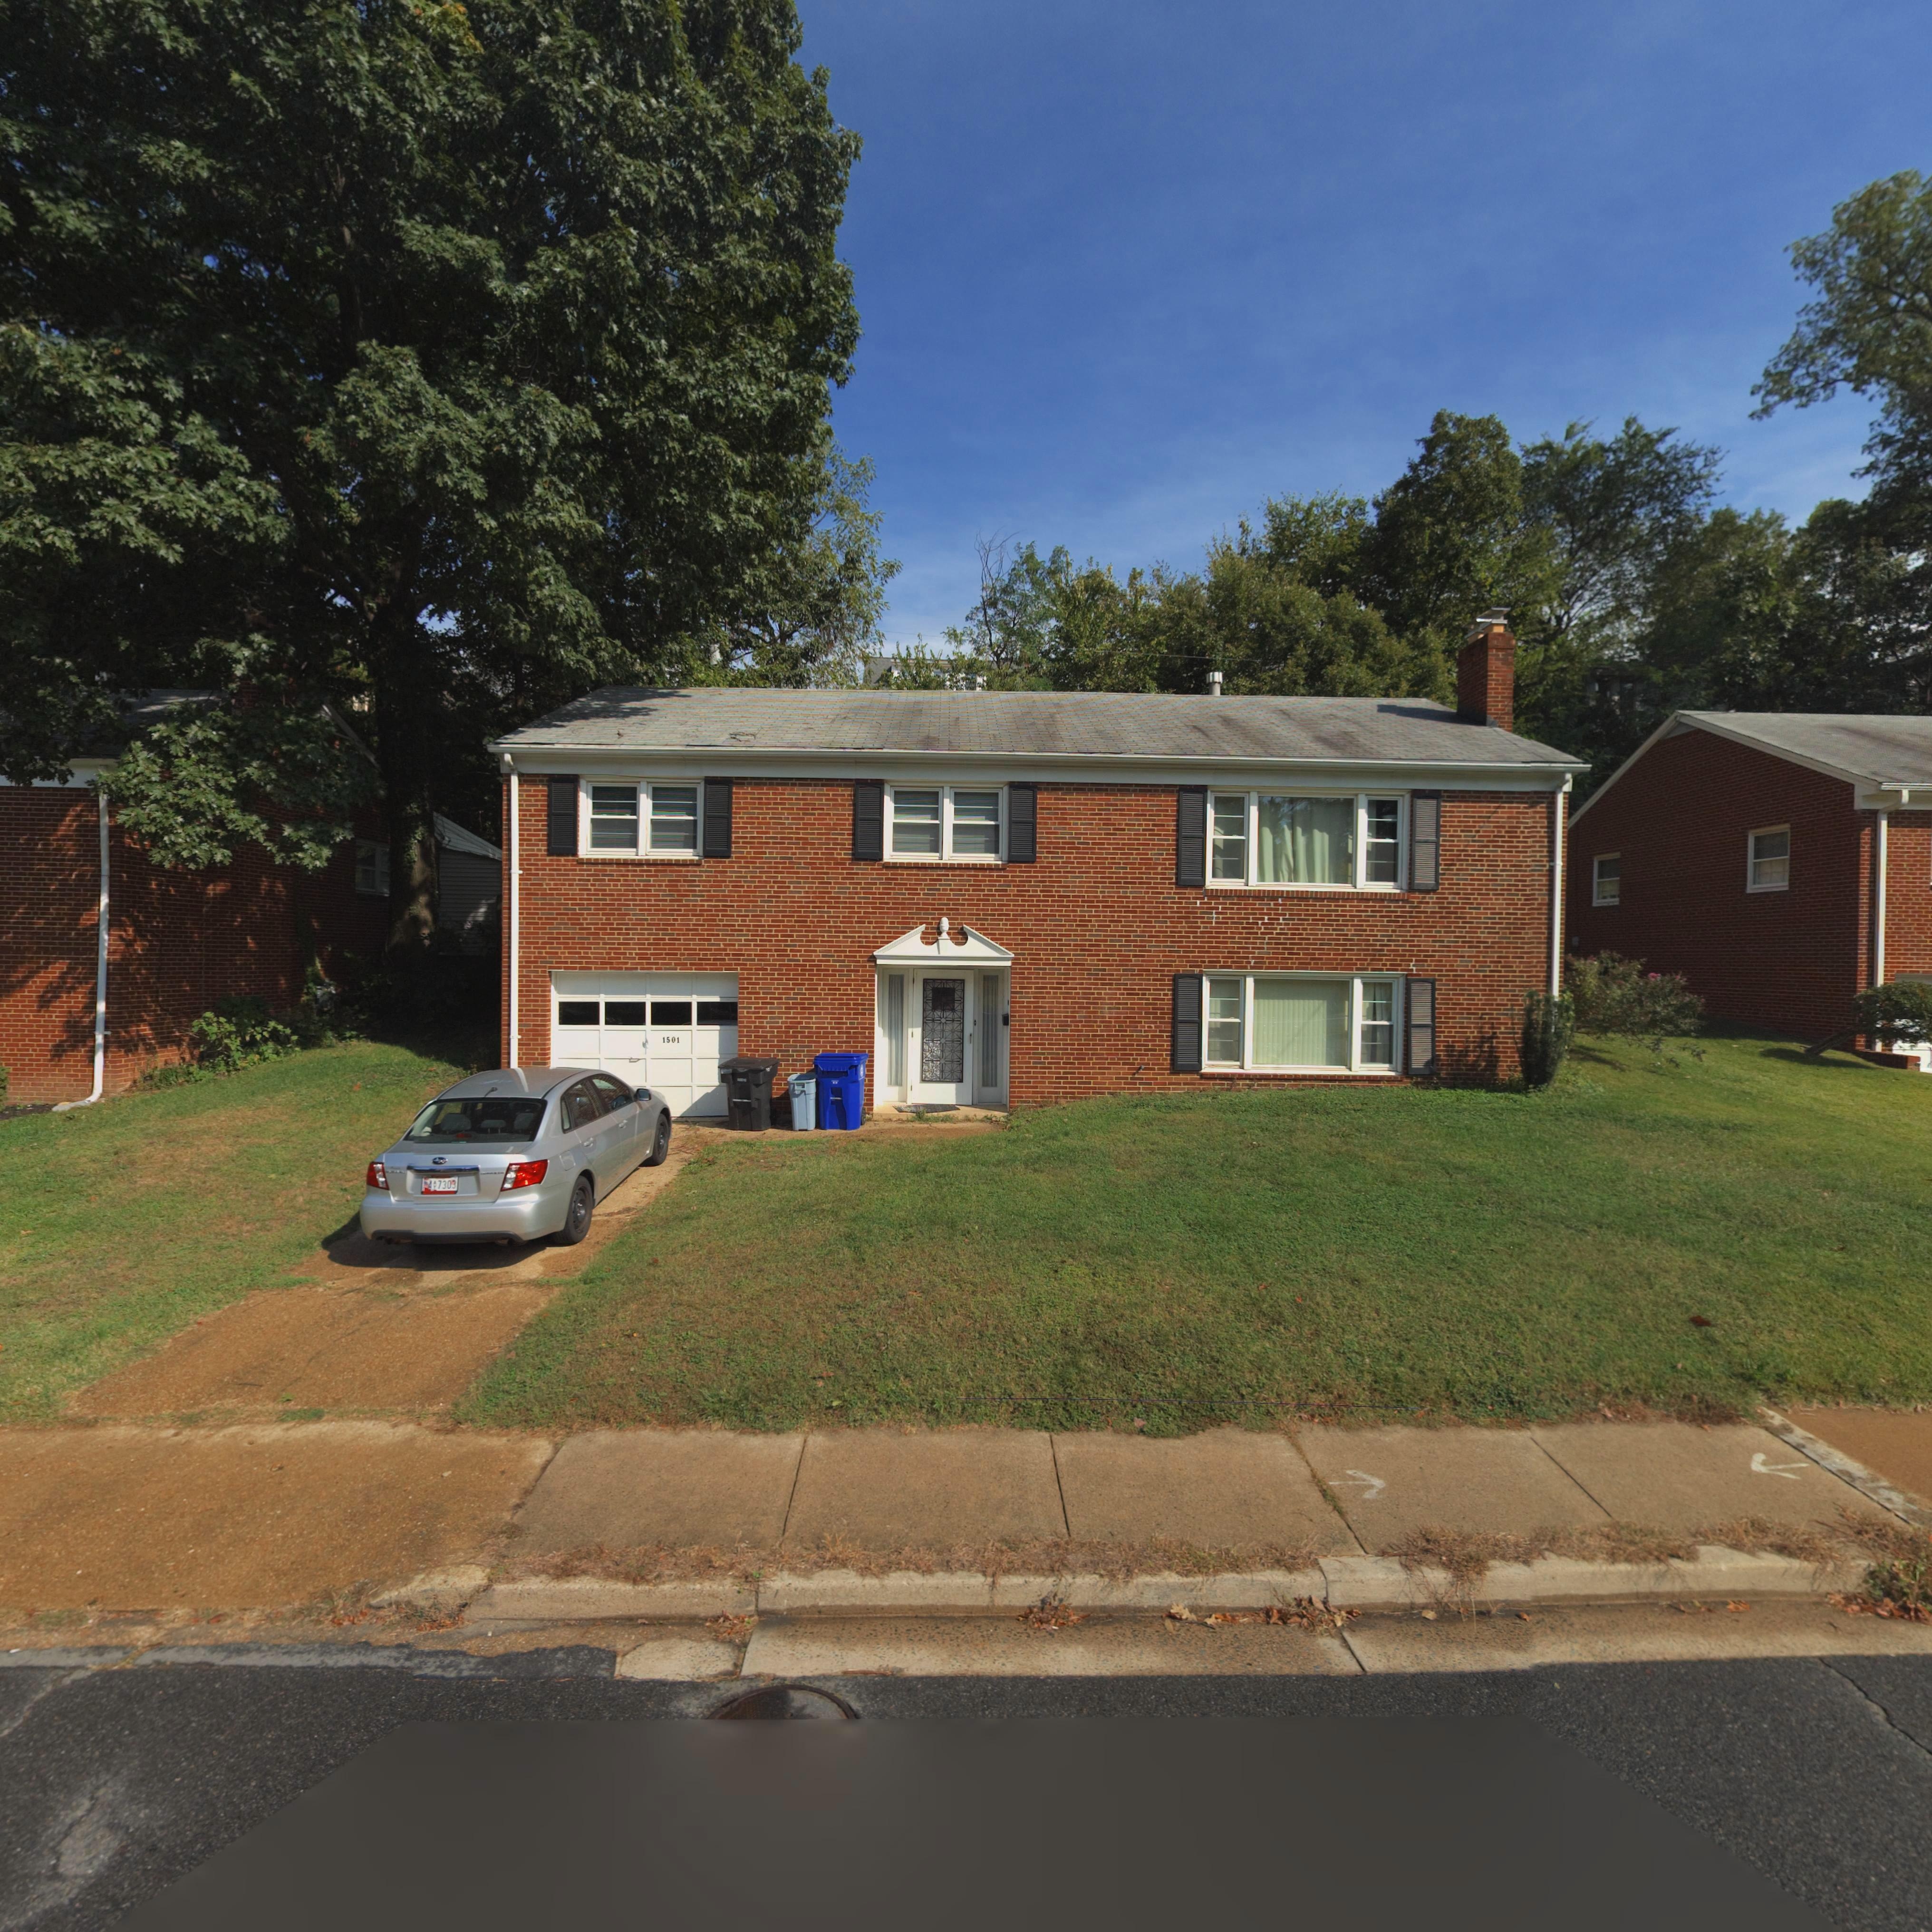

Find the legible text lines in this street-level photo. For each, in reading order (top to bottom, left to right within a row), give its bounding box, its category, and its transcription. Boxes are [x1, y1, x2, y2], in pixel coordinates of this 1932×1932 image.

[662, 1036, 680, 1043] StreetNumber: 1501
[427, 1180, 456, 1189] None: 4*7303